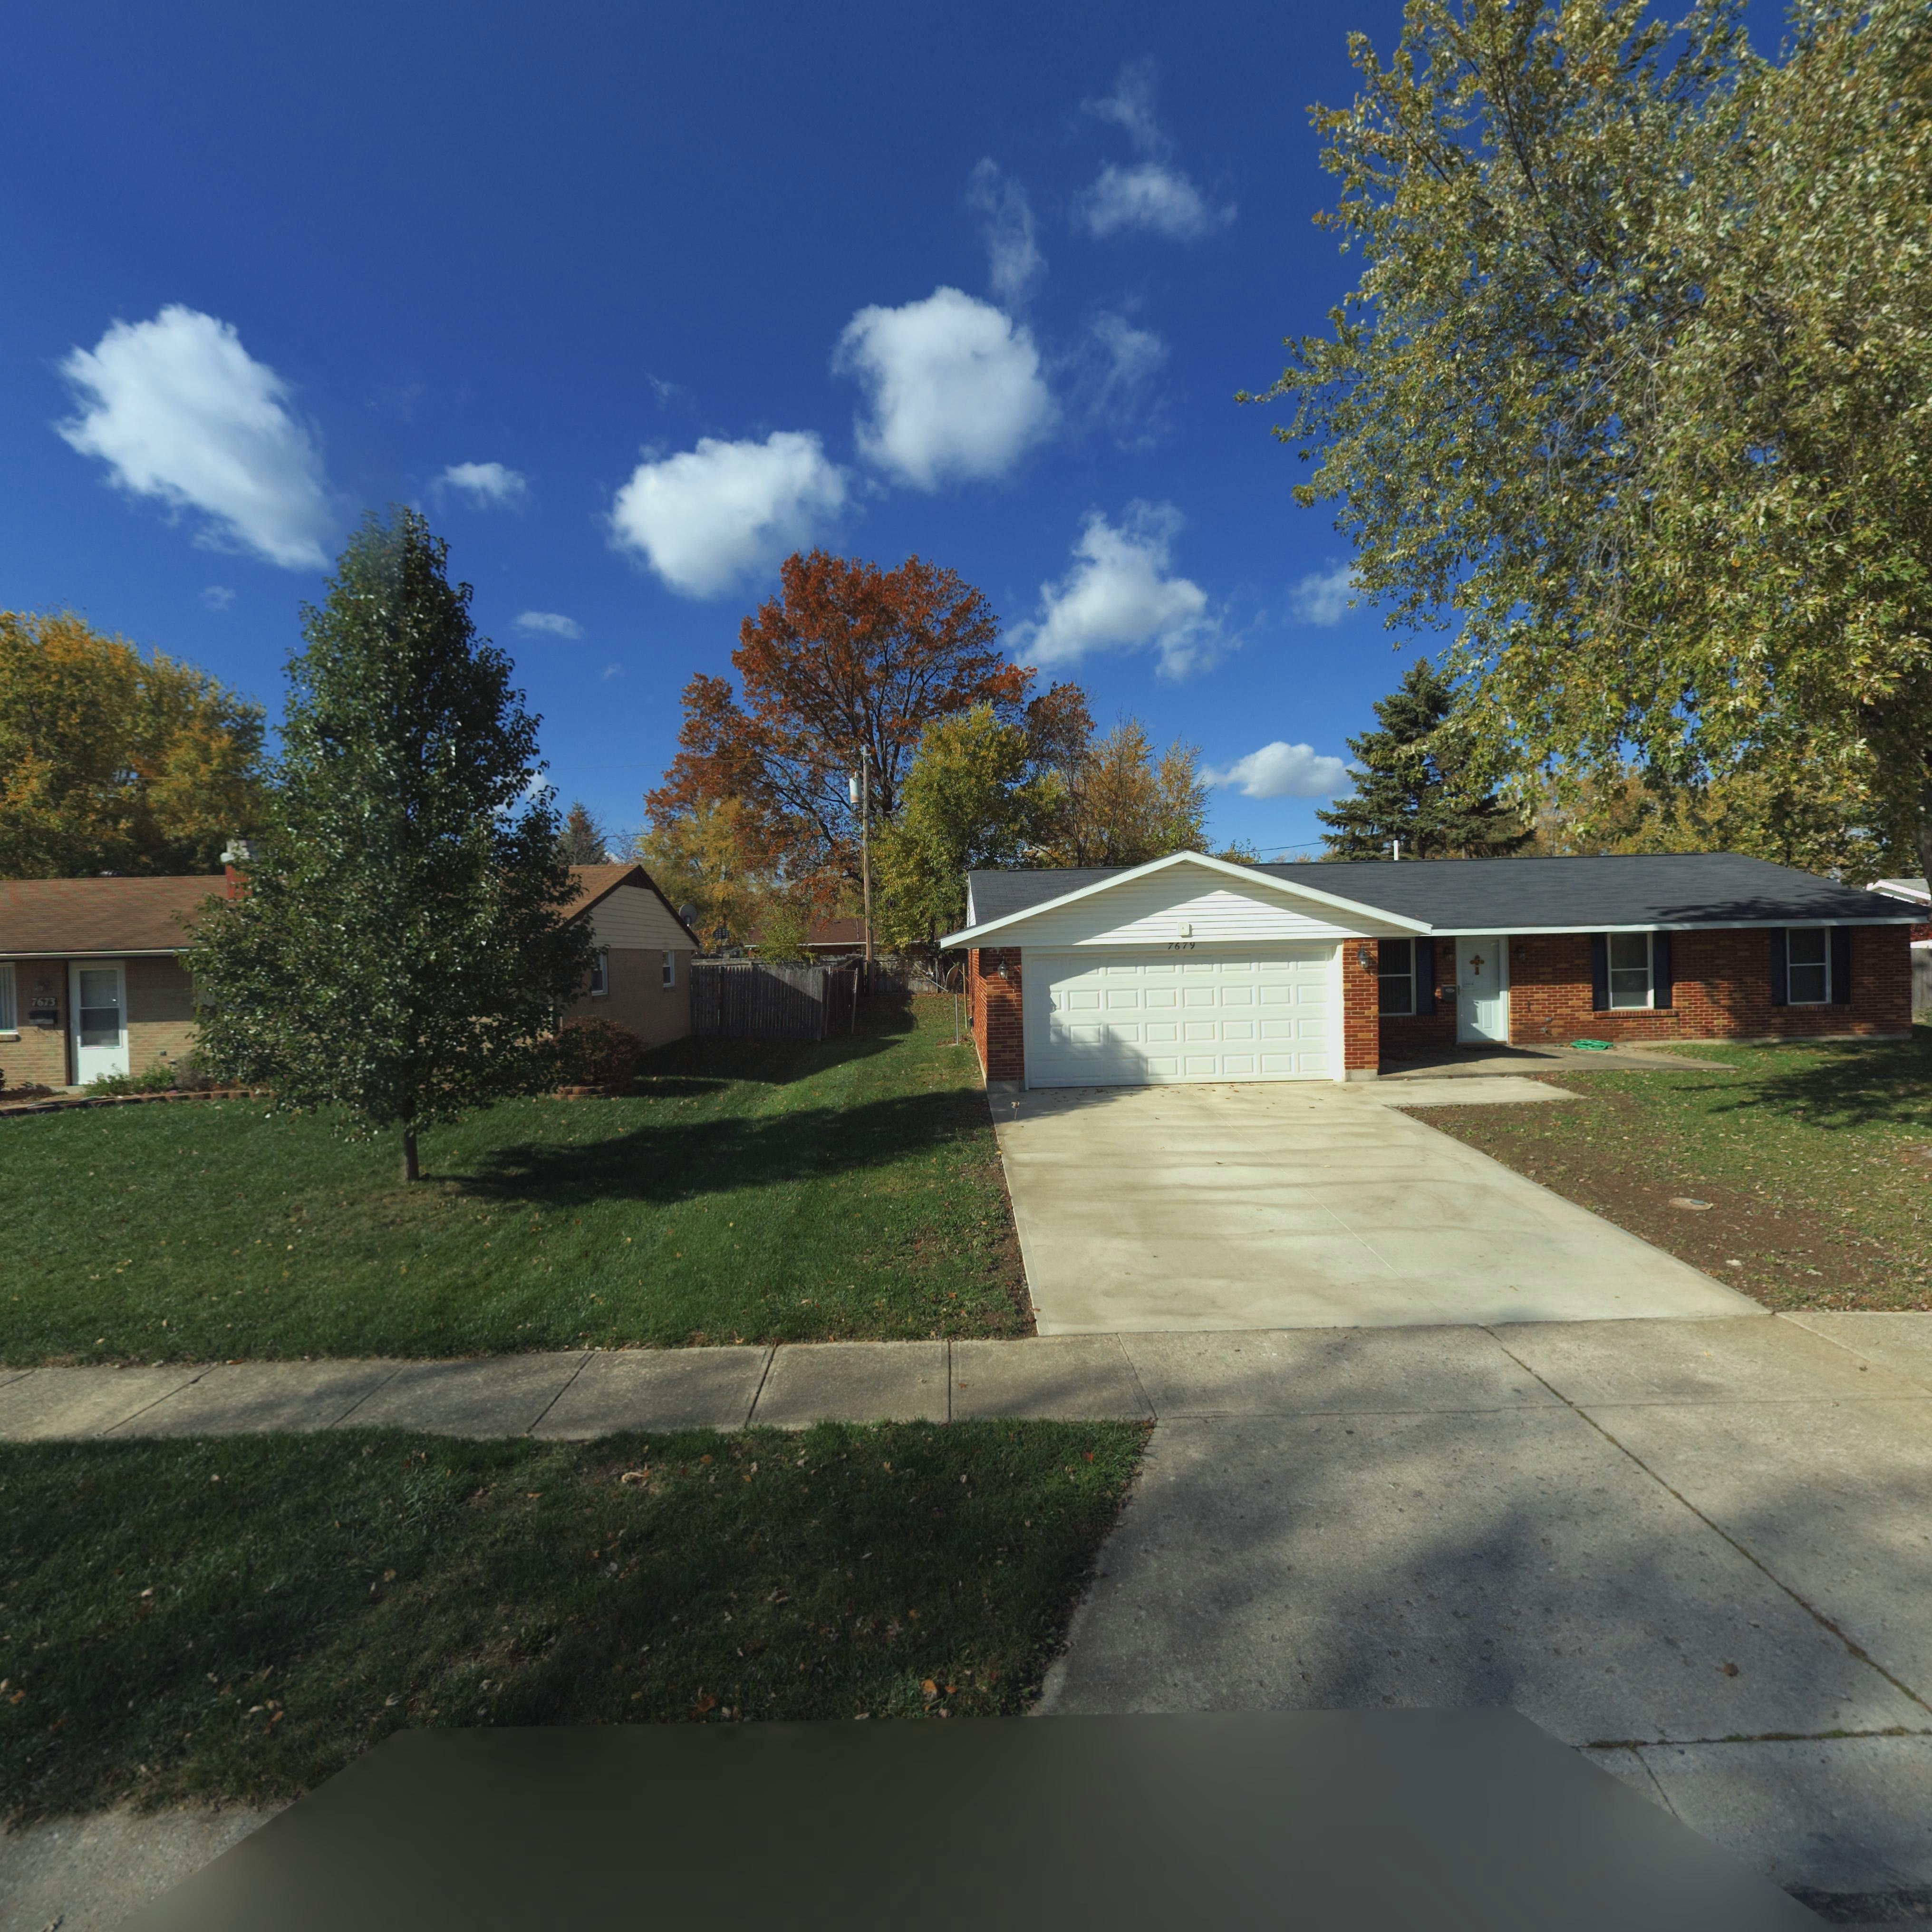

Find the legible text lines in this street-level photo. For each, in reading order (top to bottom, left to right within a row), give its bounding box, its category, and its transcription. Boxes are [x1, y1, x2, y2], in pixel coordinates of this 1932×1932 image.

[1167, 941, 1197, 951] StreetNumber: 76**
[30, 996, 57, 1007] StreetNumber: 7673